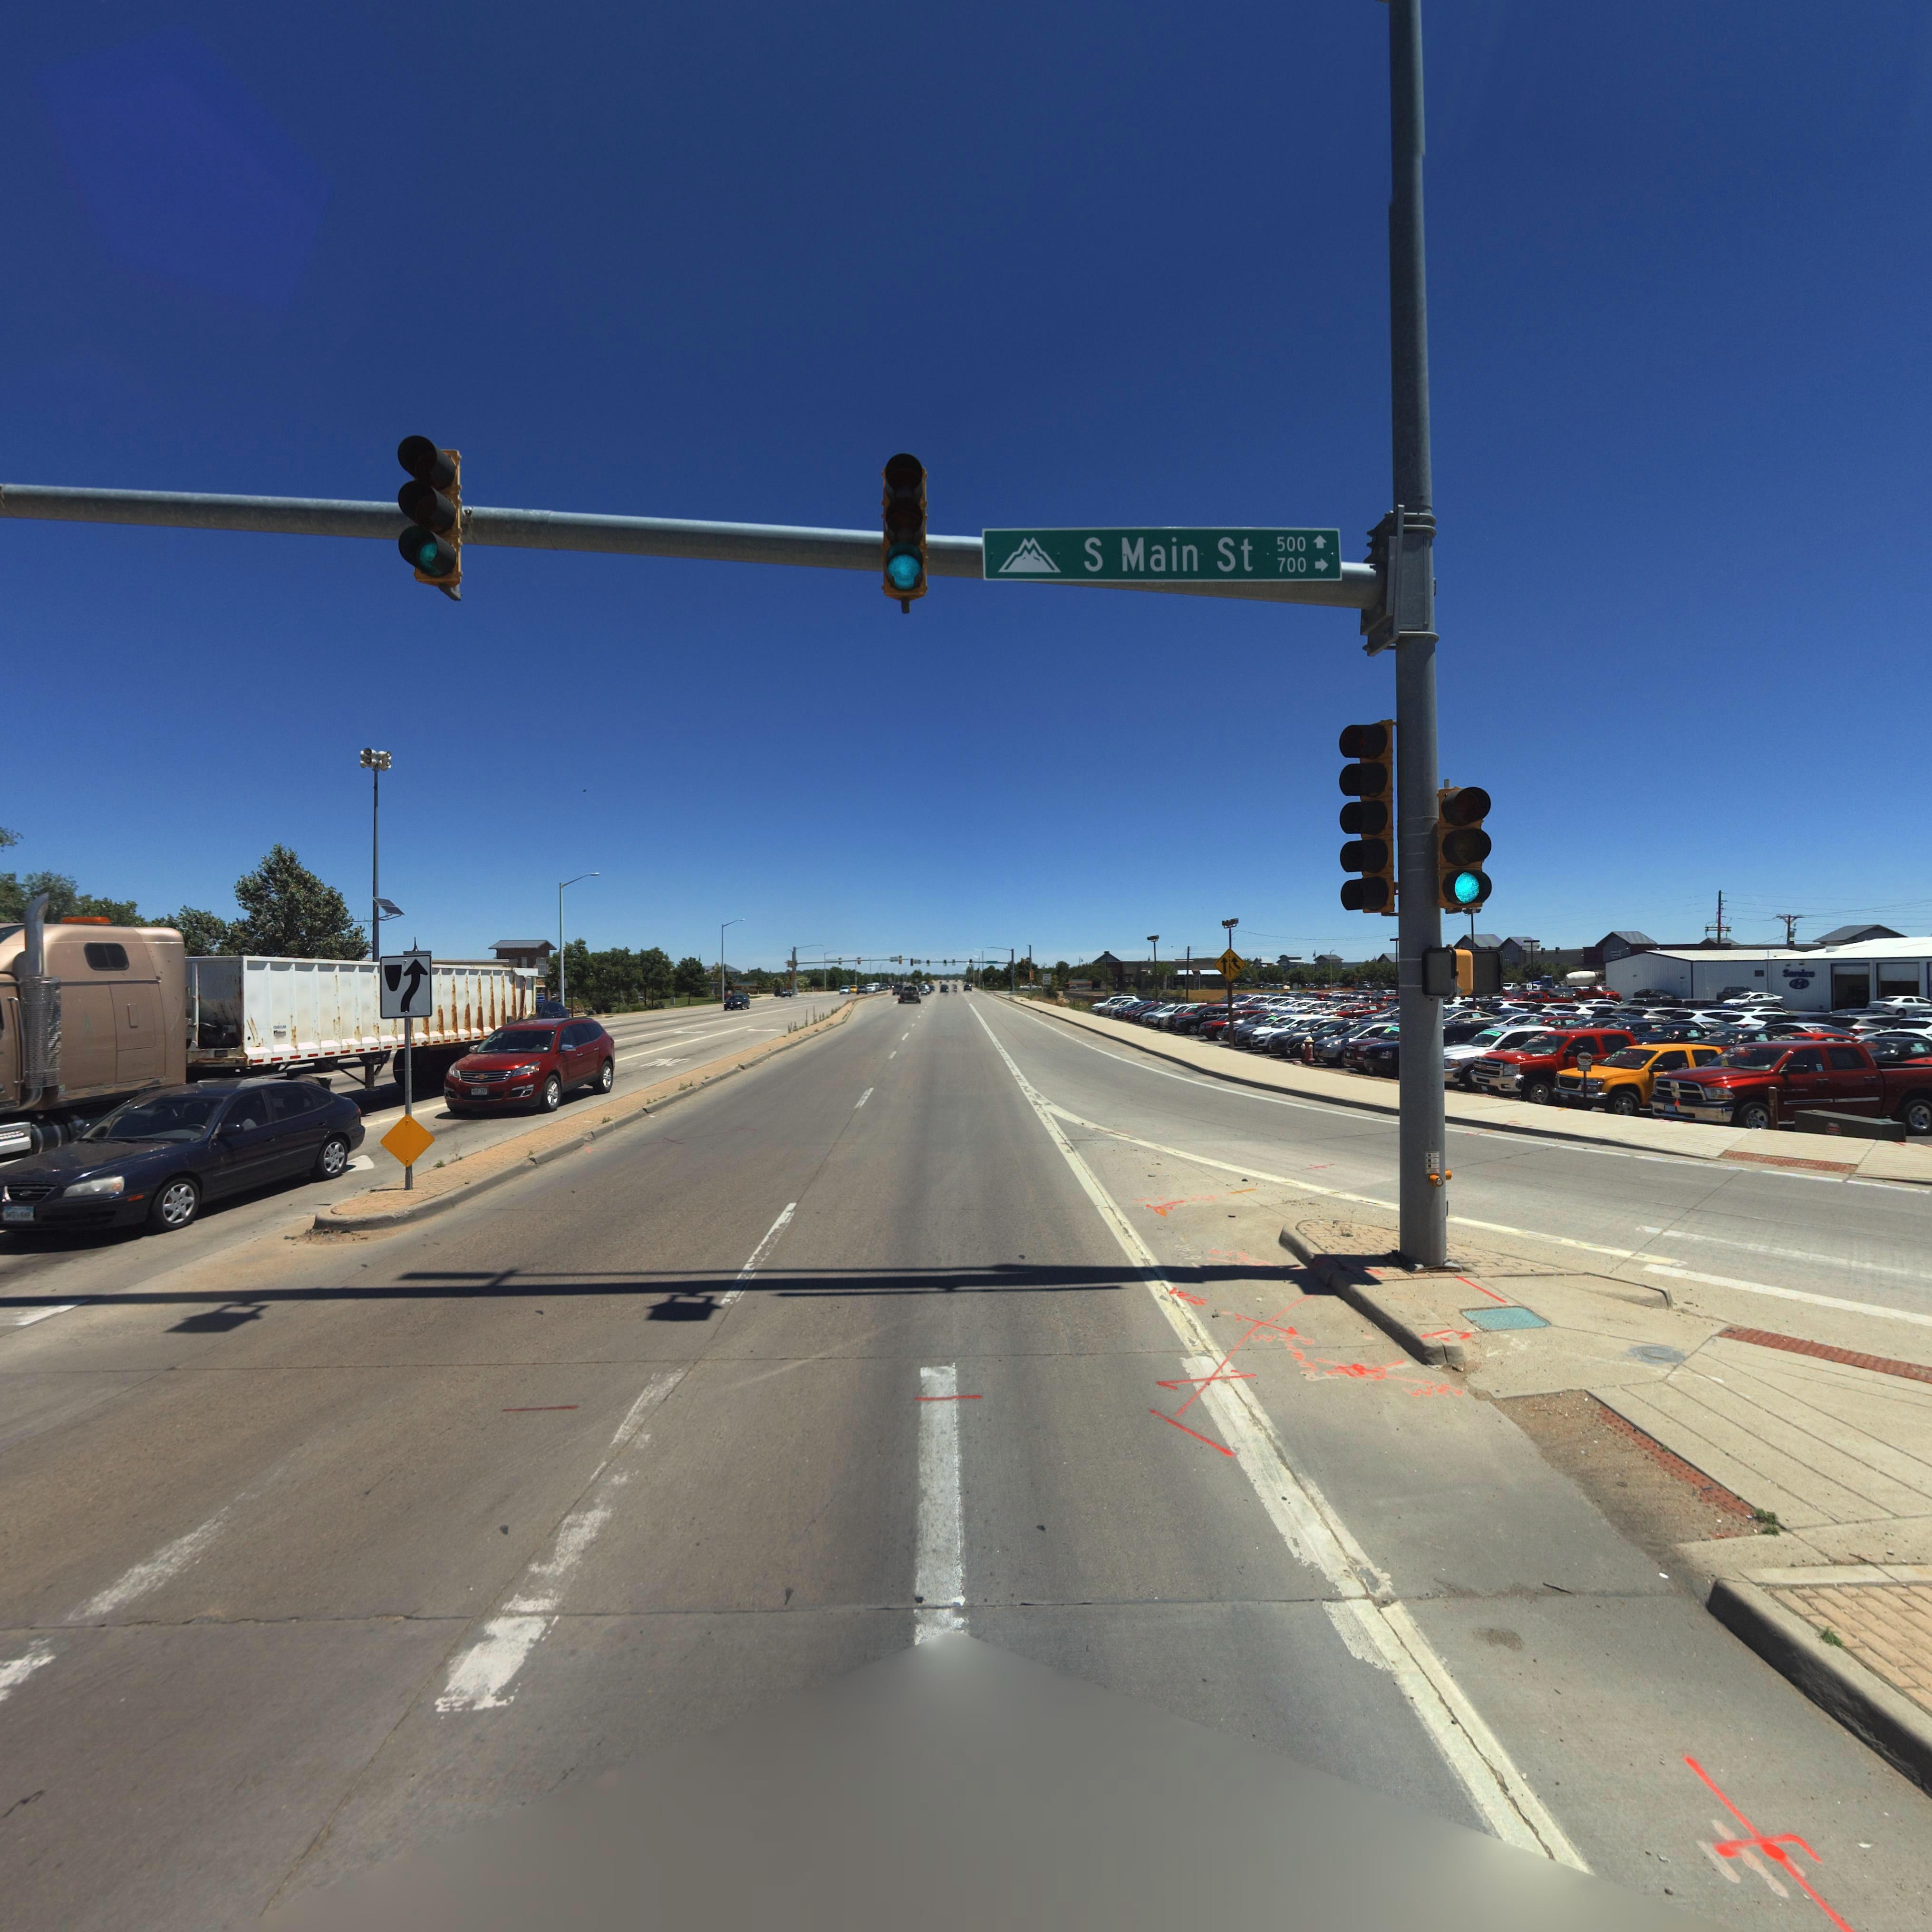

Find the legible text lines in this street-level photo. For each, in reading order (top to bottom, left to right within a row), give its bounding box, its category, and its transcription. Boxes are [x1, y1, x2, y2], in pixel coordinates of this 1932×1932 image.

[1277, 536, 1306, 552] StreetNumberRange: 500
[1083, 536, 1253, 572] StreetName: S Main St
[1277, 557, 1329, 572] StreetNumberRange: 700->